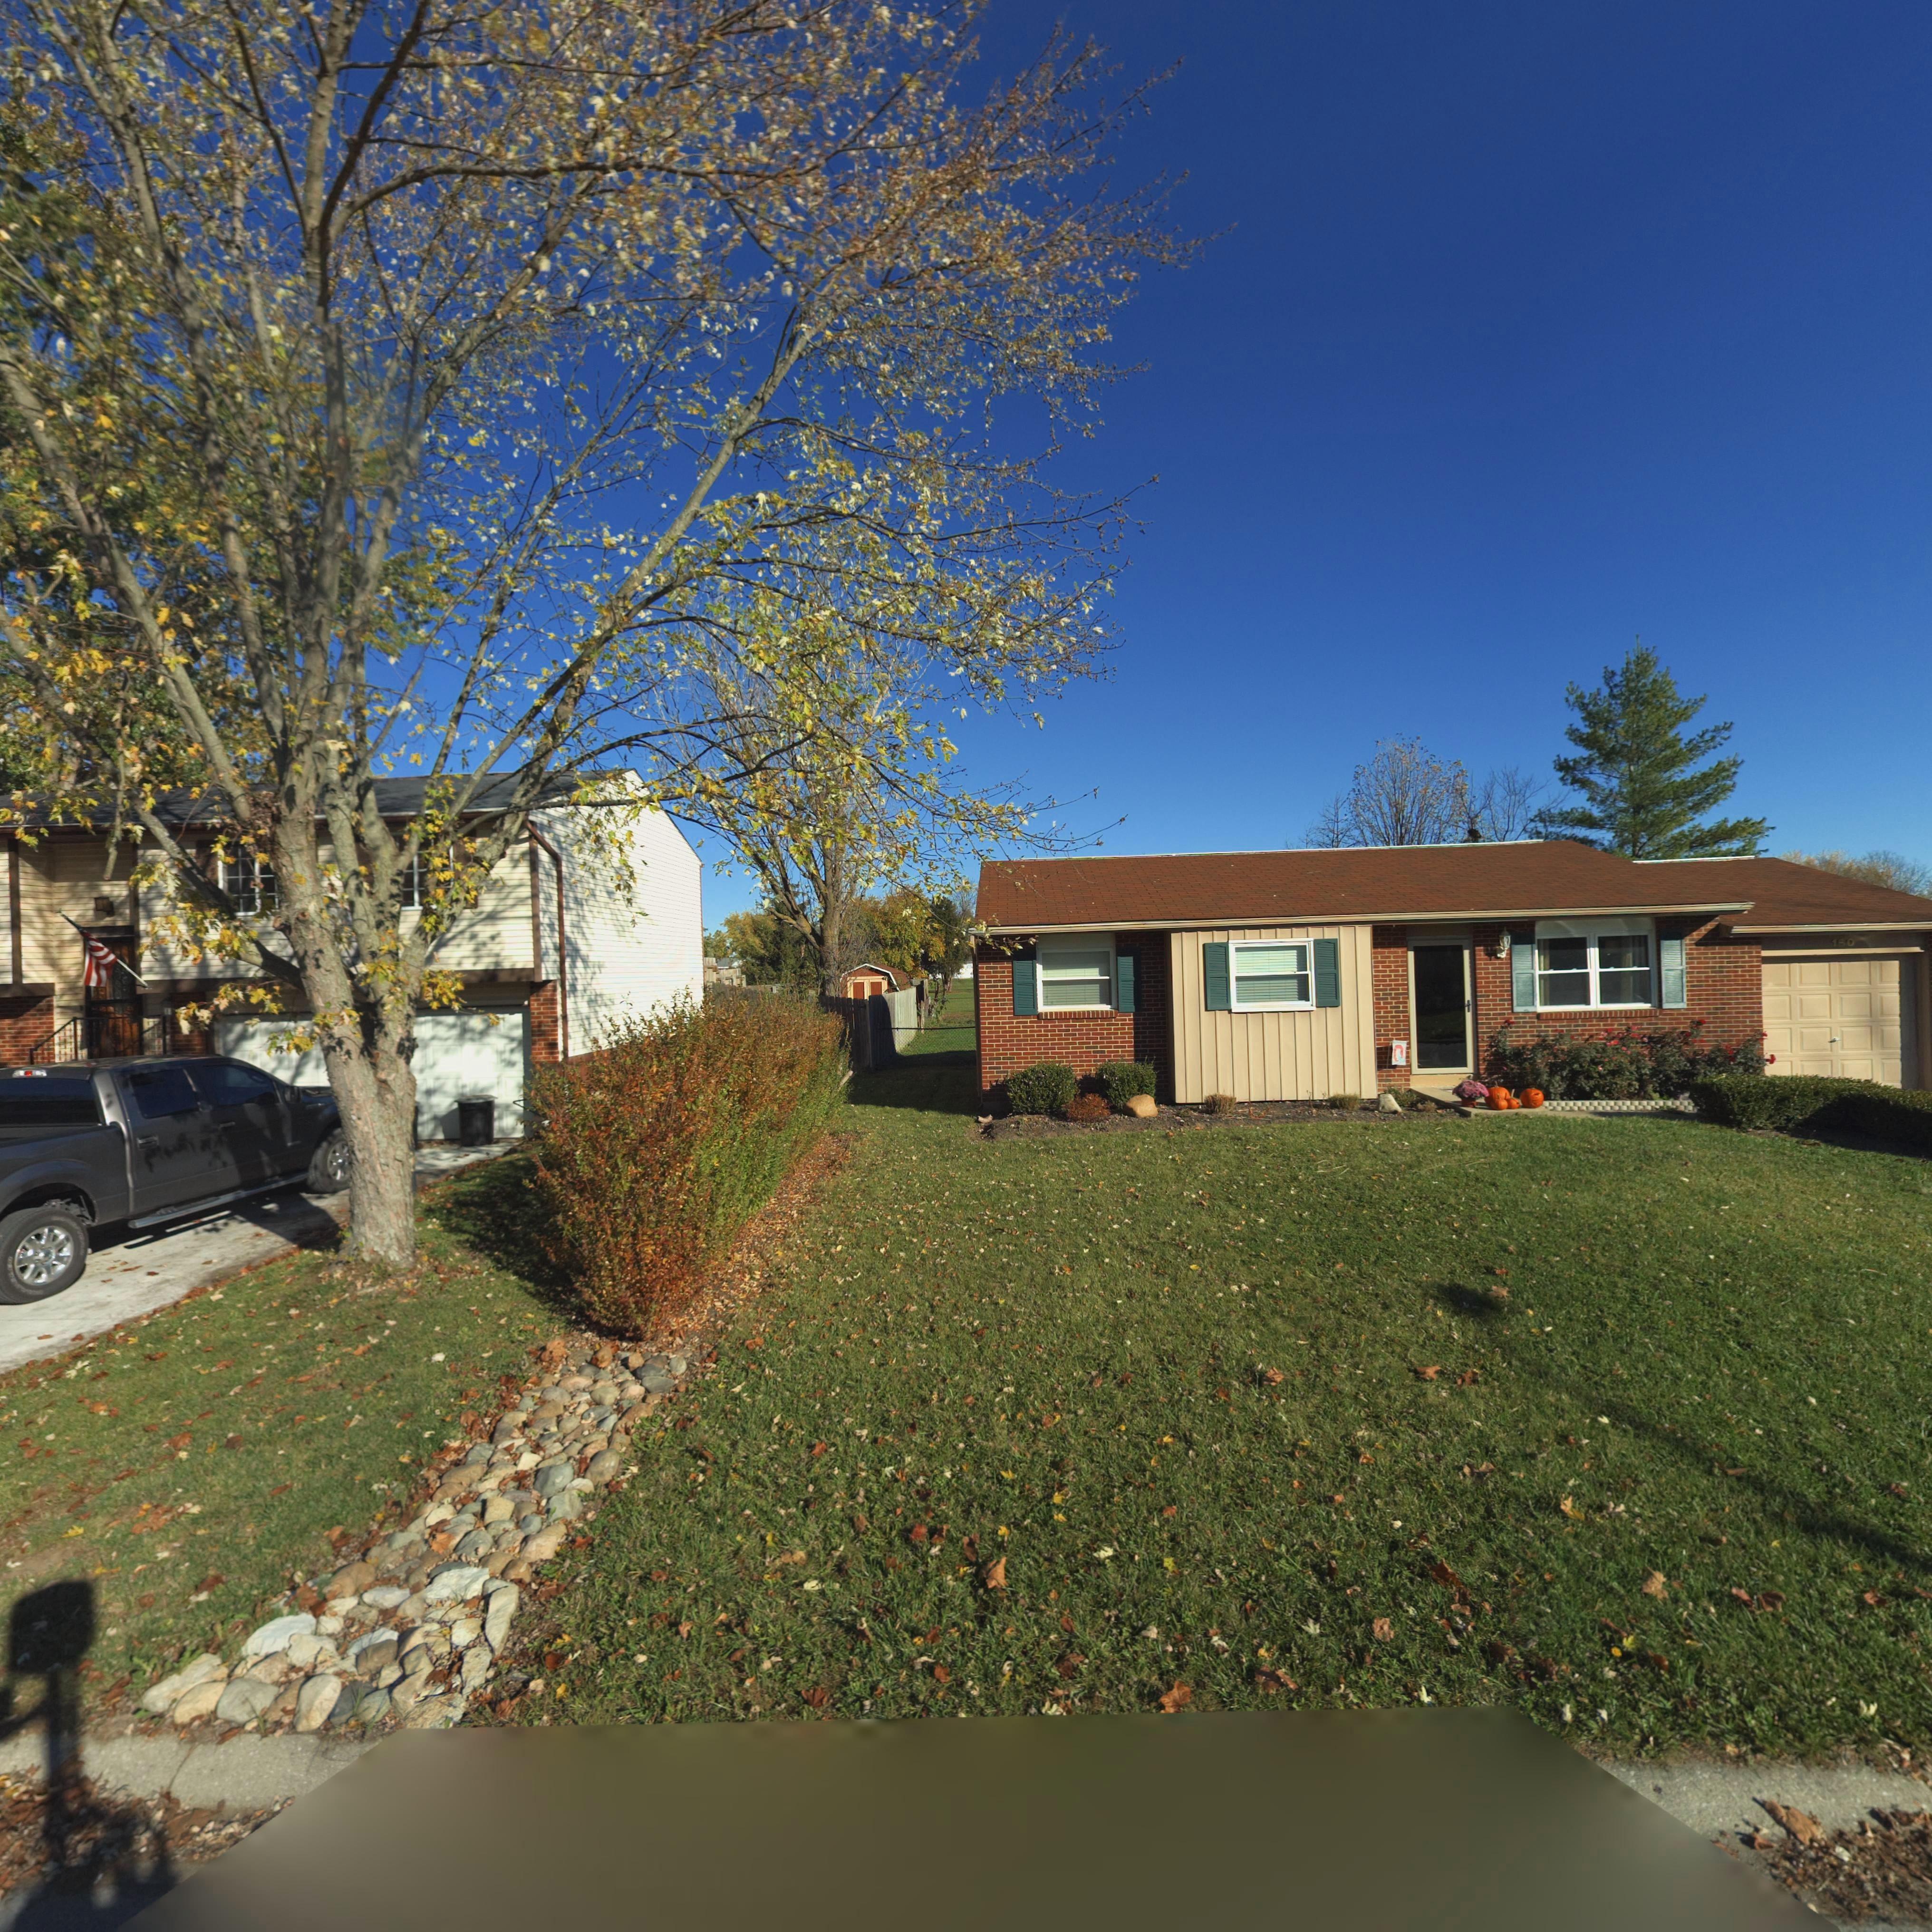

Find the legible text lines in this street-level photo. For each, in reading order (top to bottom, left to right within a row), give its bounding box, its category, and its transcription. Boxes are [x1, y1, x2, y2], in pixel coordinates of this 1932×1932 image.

[1830, 937, 1856, 949] StreetNumber: 160